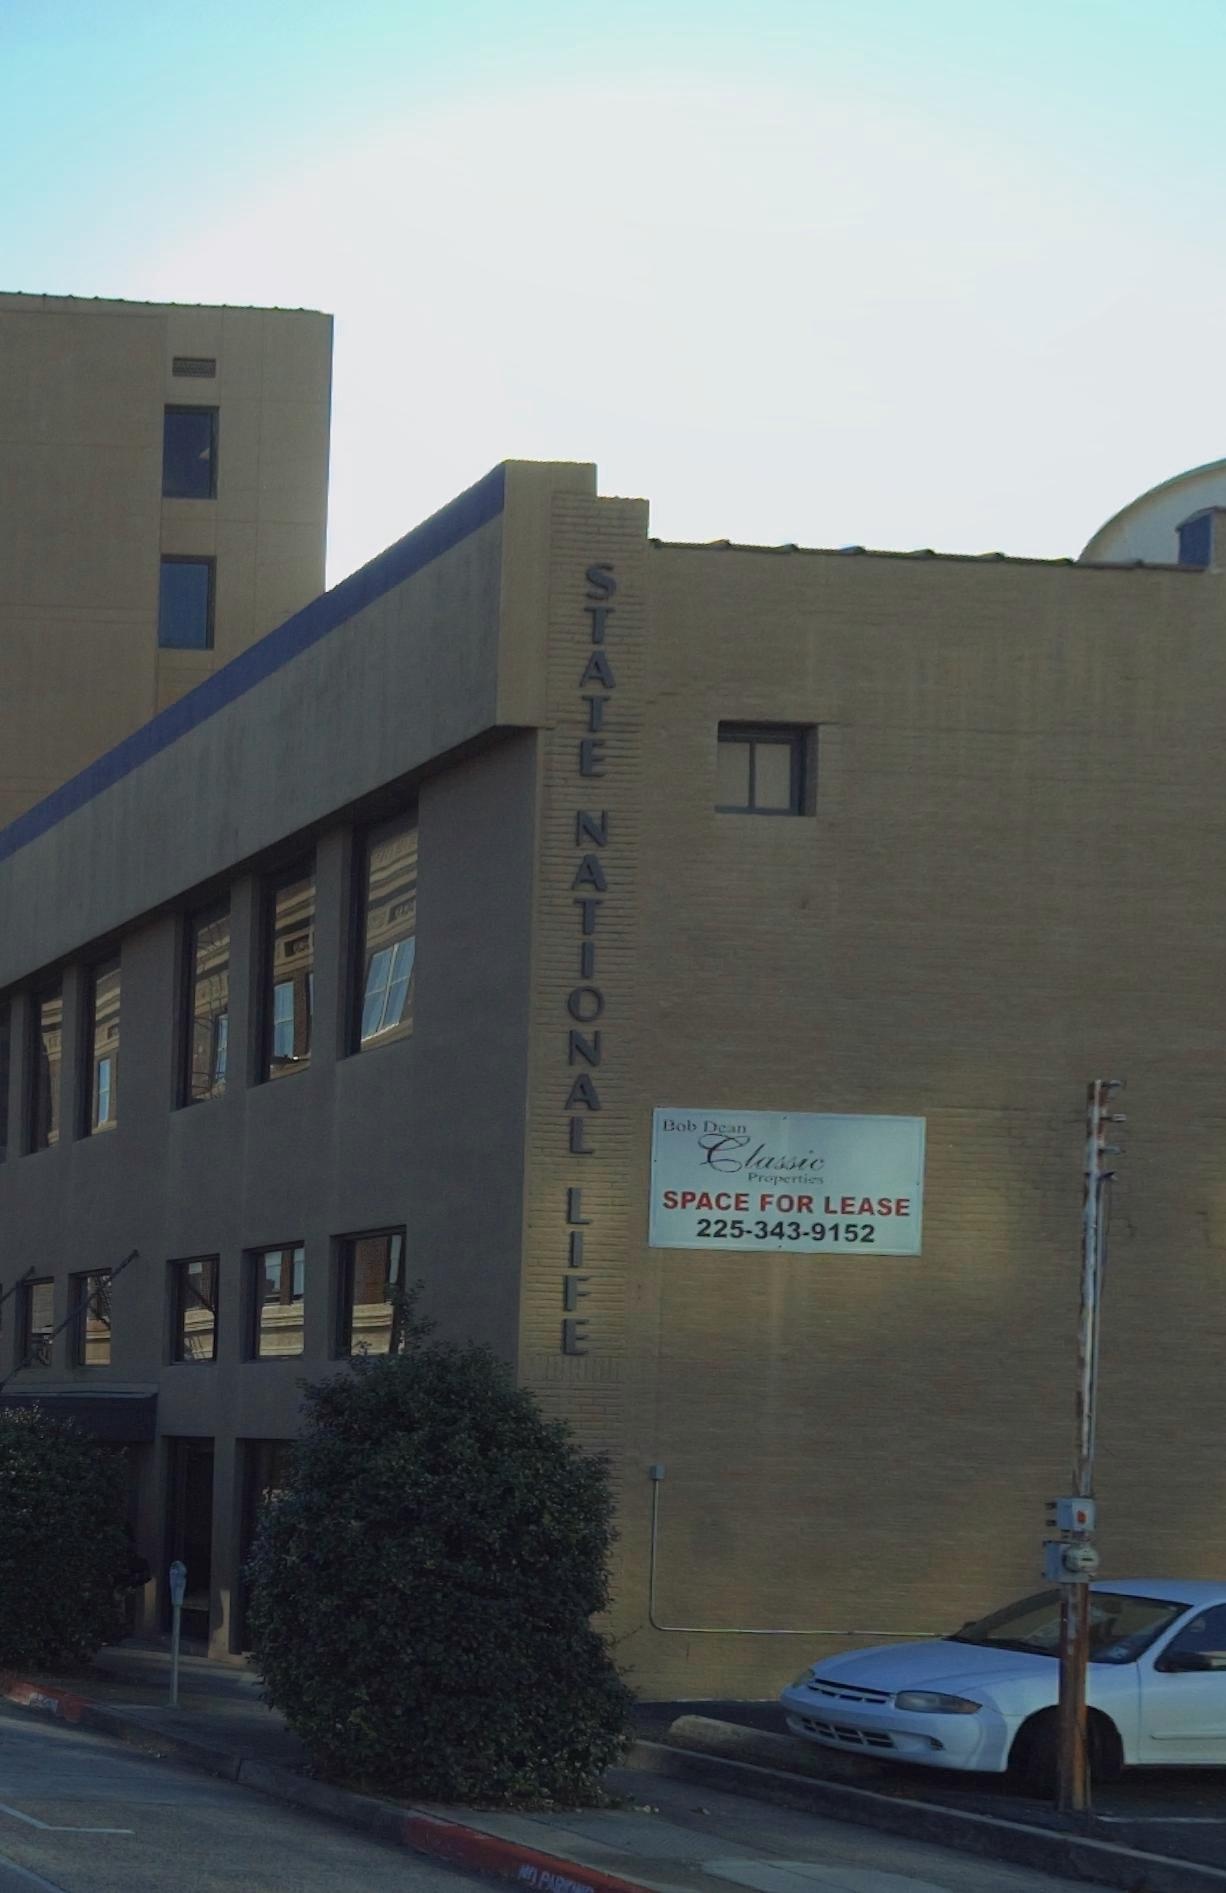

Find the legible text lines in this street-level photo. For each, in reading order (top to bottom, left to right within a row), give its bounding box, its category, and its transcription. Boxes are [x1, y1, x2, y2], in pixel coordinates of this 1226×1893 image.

[553, 555, 622, 1365] BusinessName: STATE NATIONAL LIFE
[661, 1117, 749, 1136] None: Bob Dean
[694, 1132, 829, 1175] None: Classic
[747, 1170, 826, 1188] None: Properties
[659, 1186, 913, 1220] None: SPACE FOR LEASE
[693, 1215, 879, 1245] None: 225-343-9152
[512, 1859, 566, 1892] None: NO PA